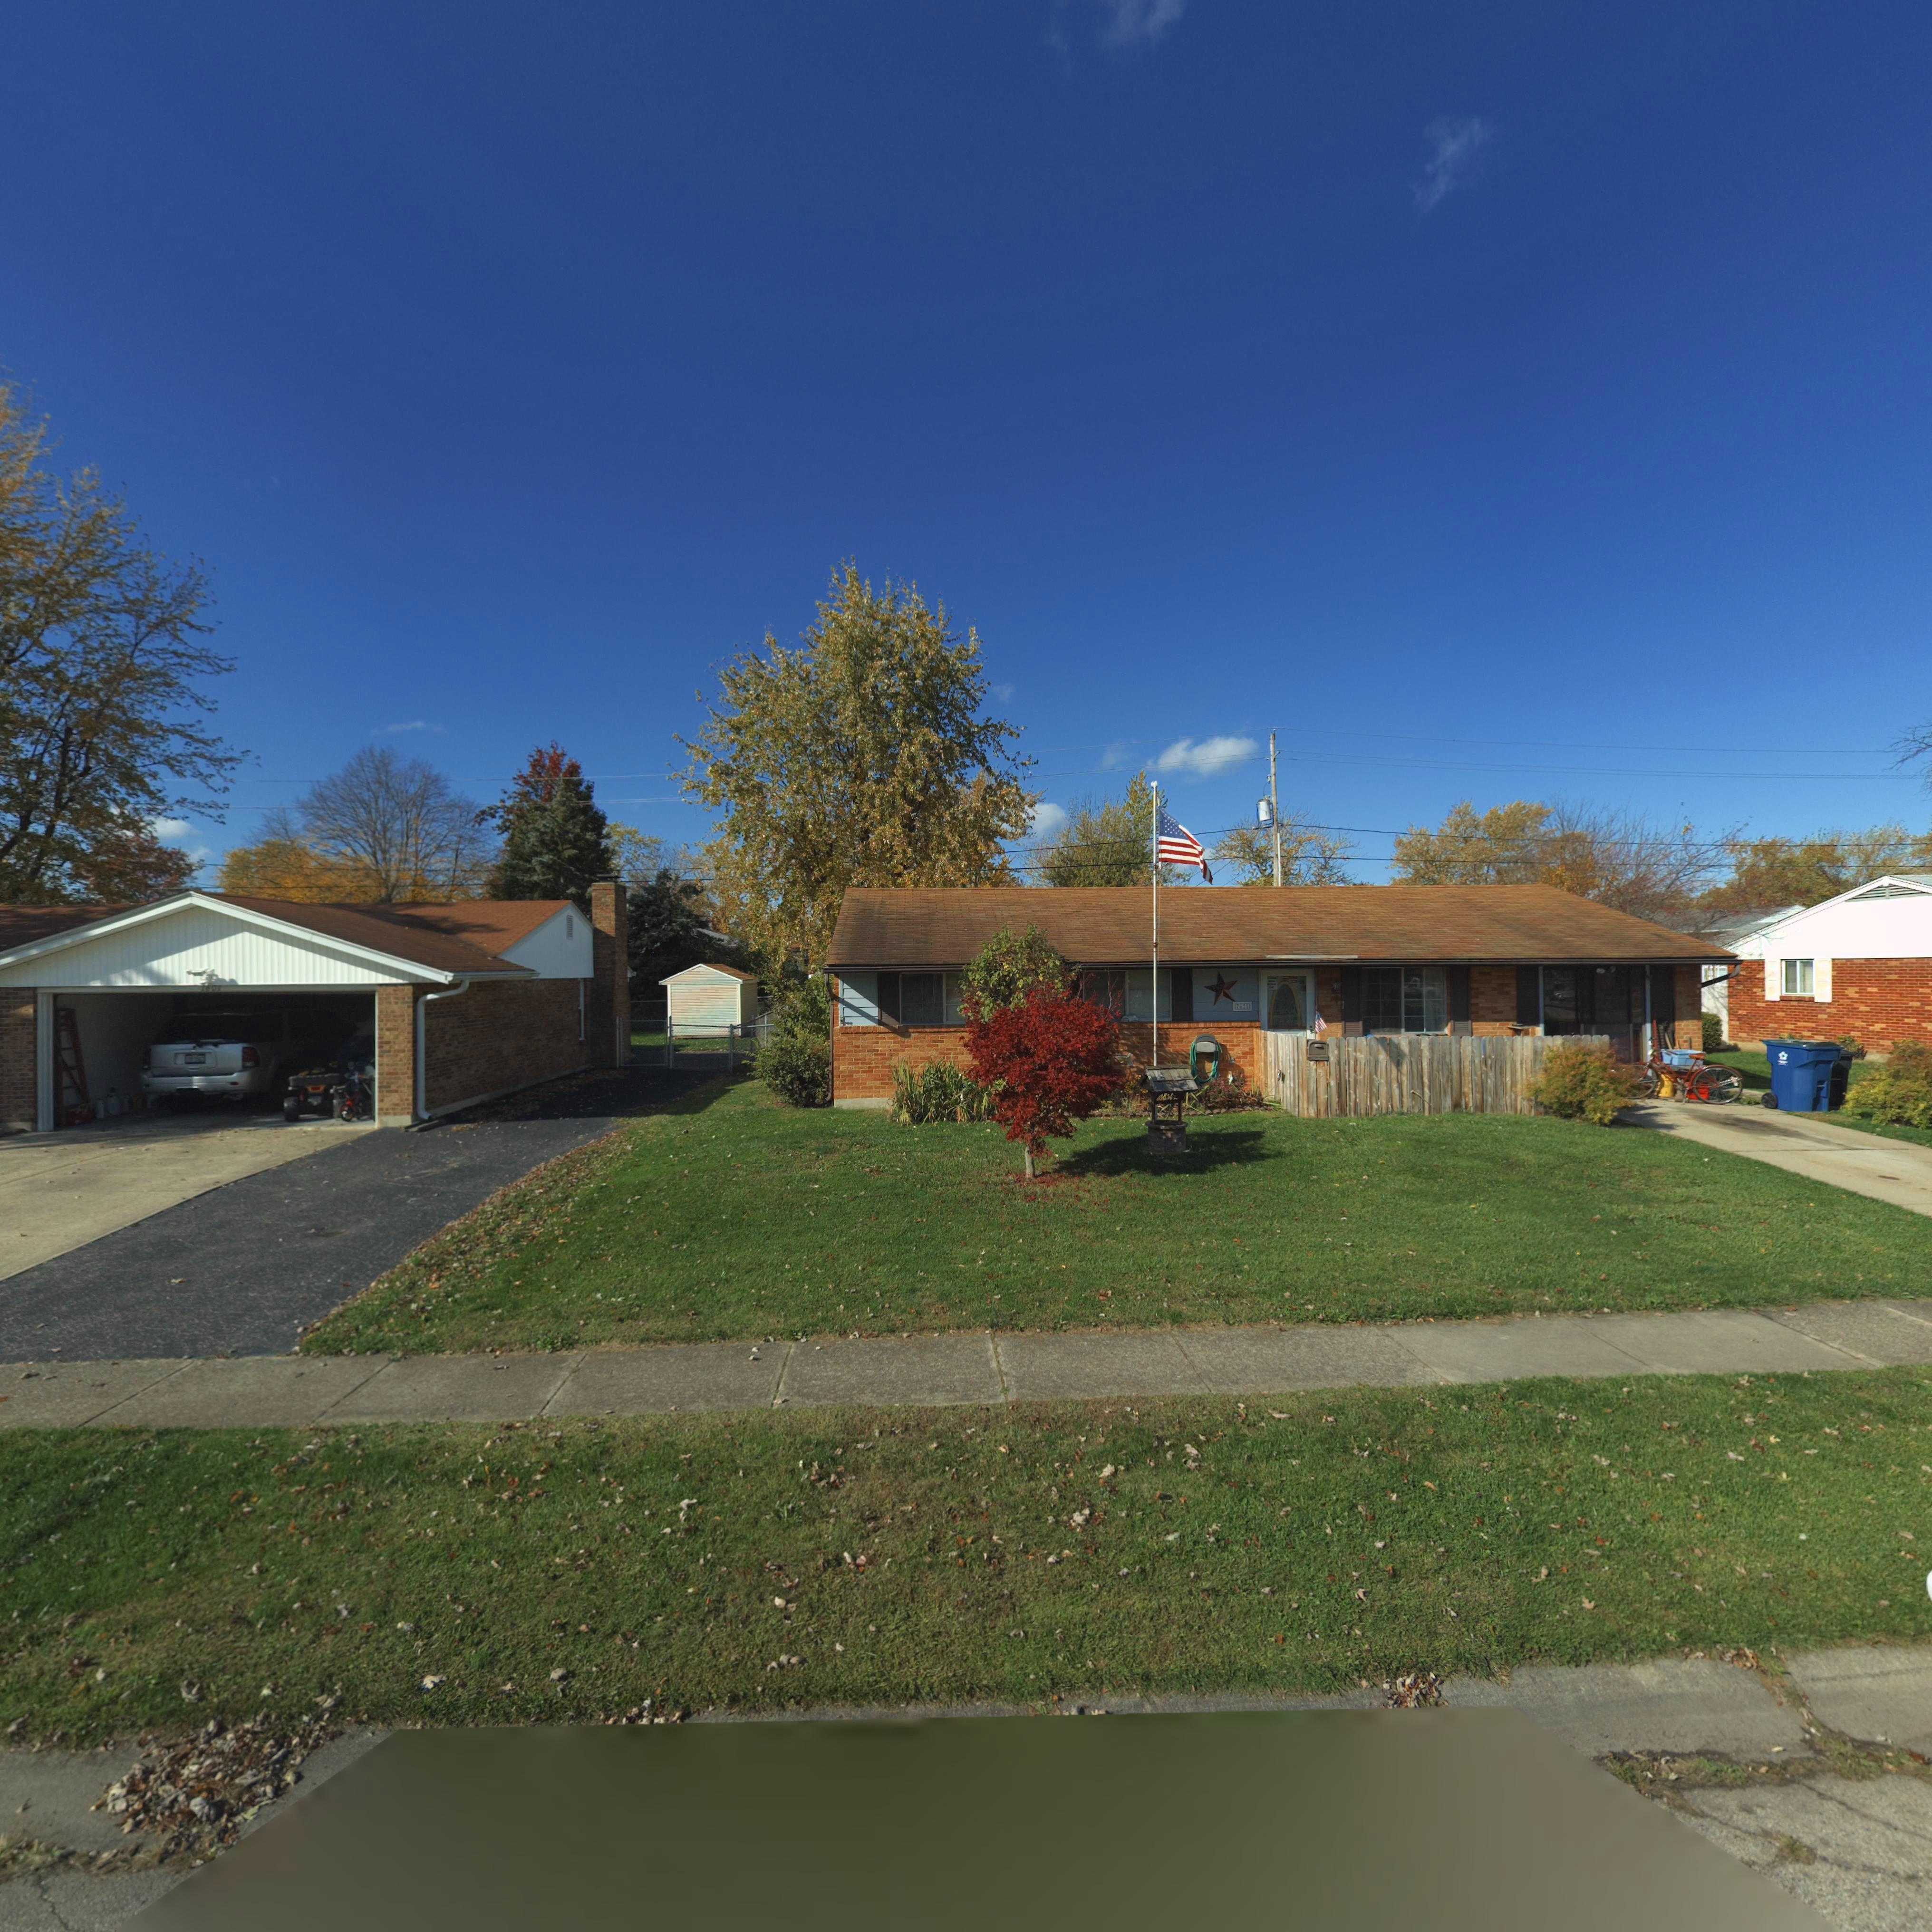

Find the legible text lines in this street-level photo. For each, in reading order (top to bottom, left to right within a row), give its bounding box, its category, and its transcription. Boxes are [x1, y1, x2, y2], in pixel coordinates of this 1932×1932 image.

[200, 984, 222, 993] StreetNumber: **0*
[1235, 1003, 1249, 1010] StreetNumber: ***1